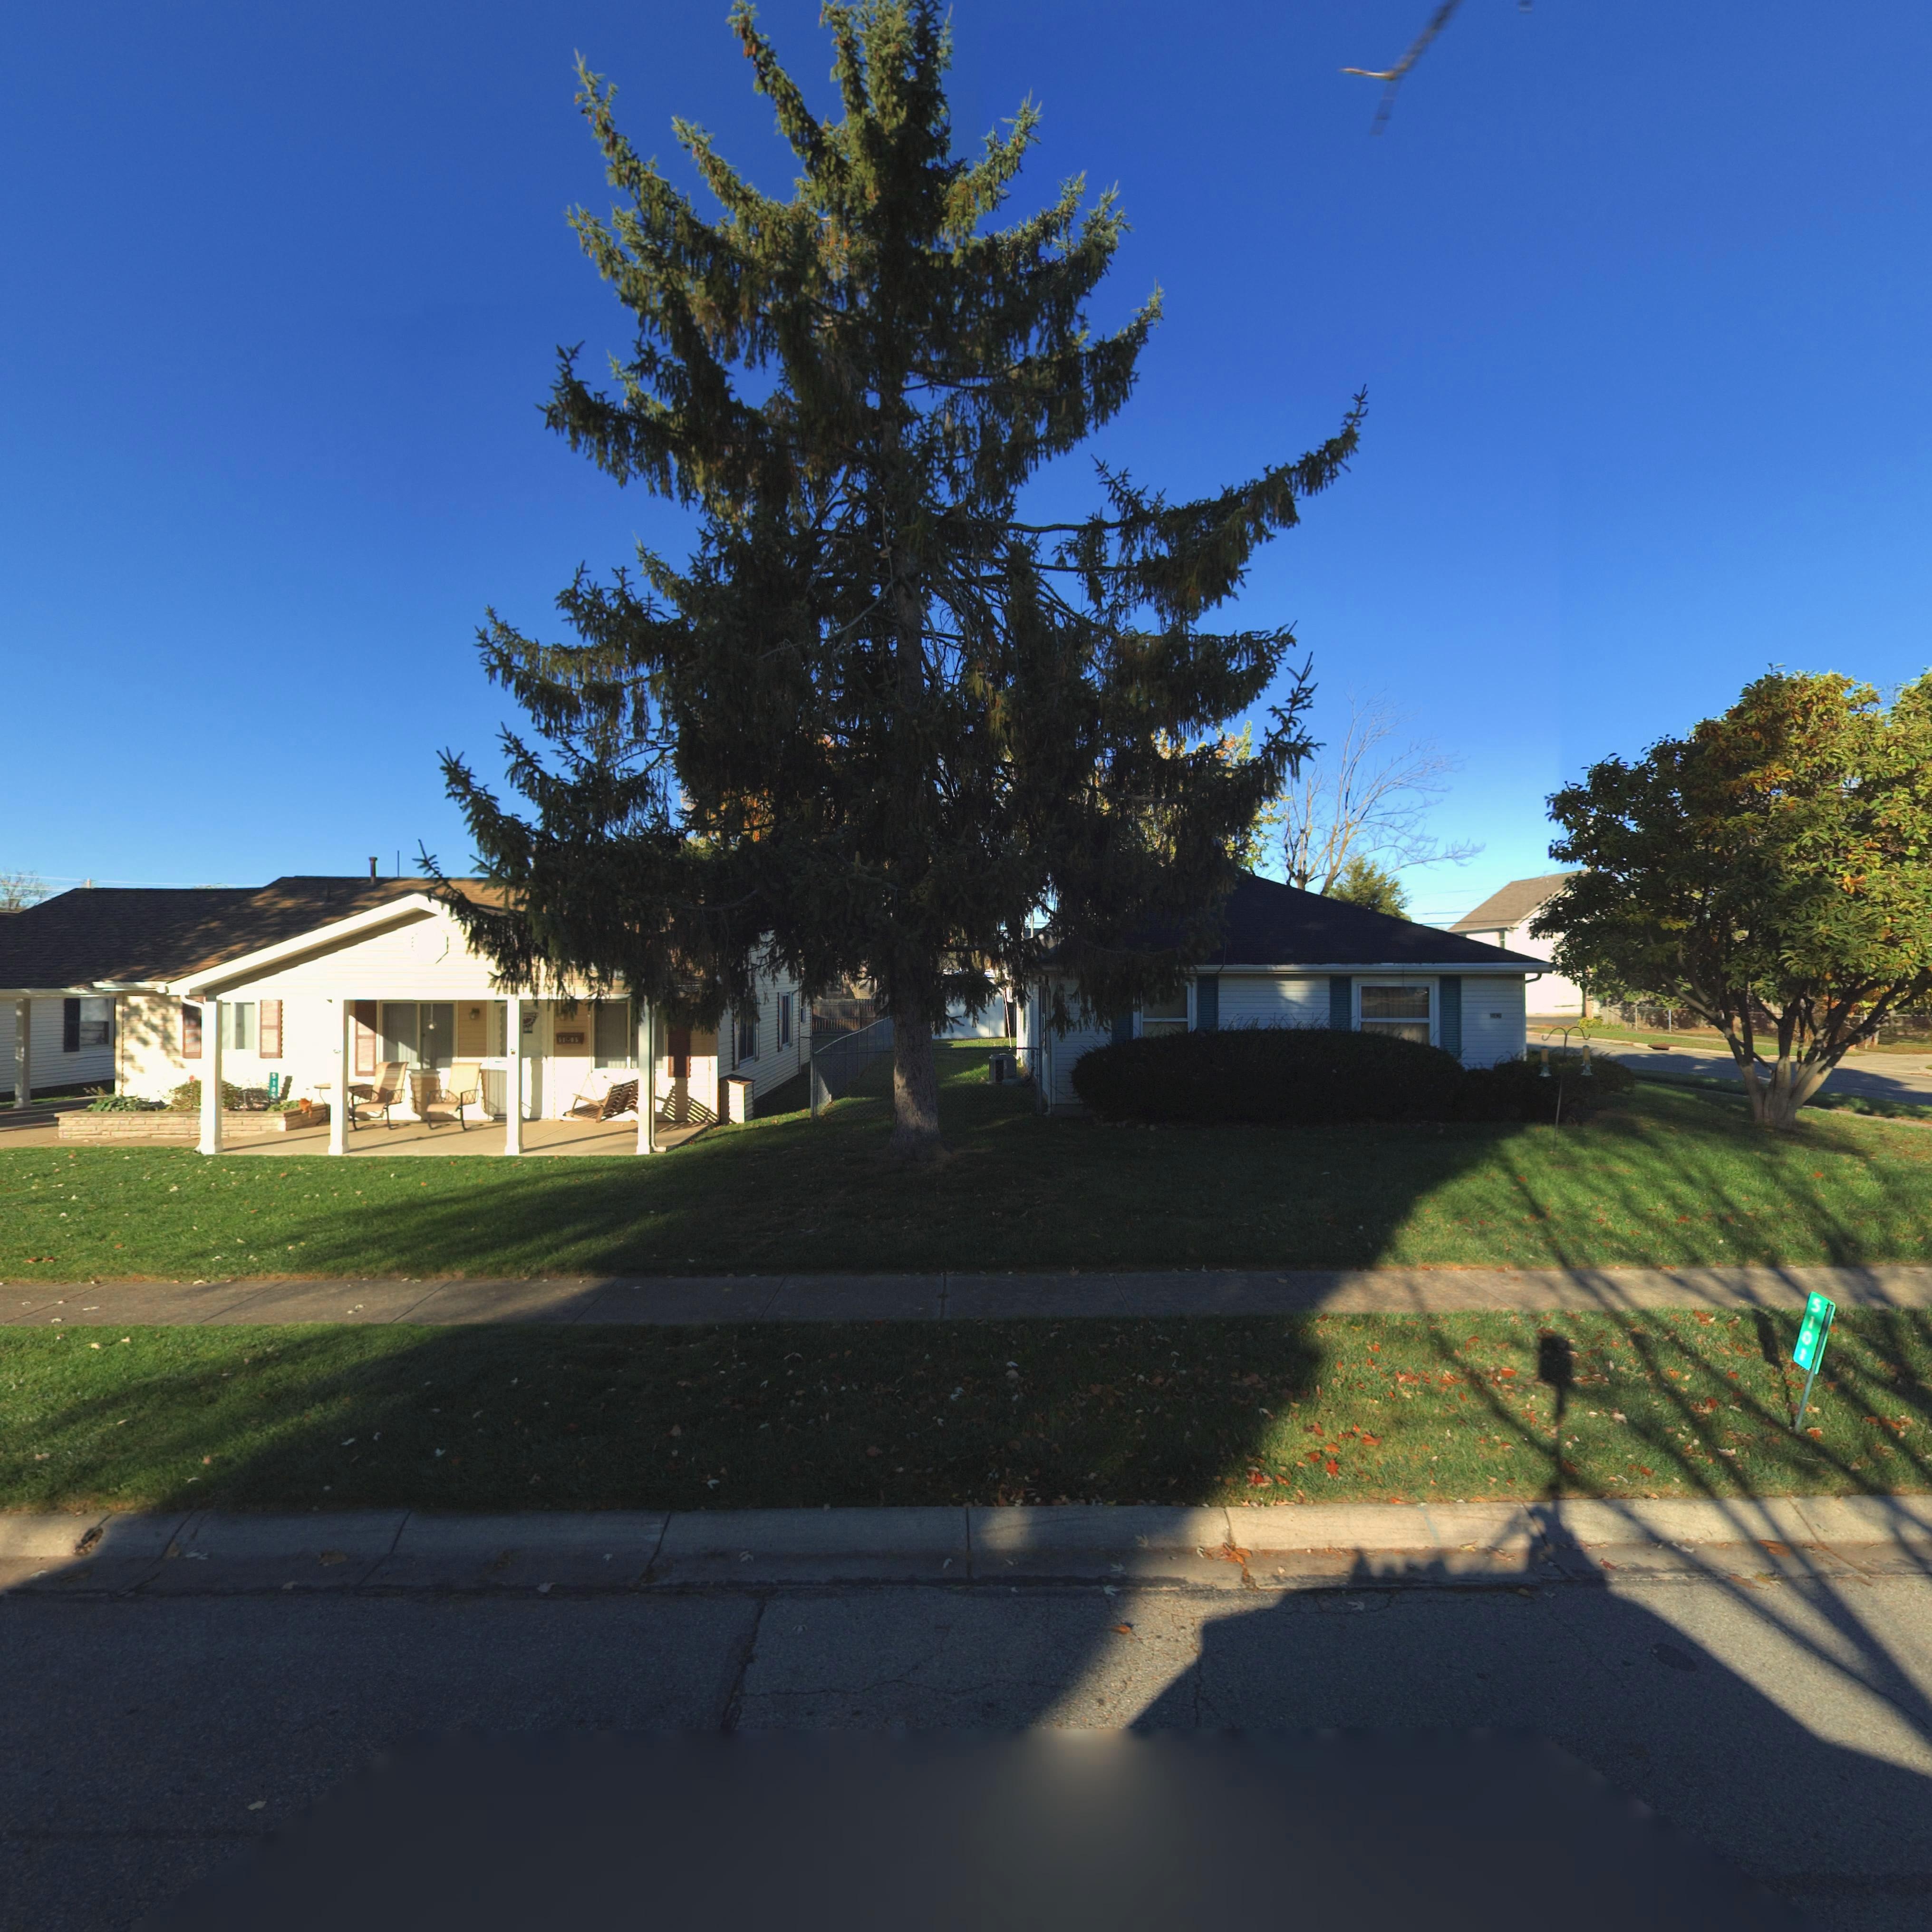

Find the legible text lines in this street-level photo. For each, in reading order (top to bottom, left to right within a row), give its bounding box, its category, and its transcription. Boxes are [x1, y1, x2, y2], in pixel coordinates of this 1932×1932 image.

[558, 1037, 579, 1043] StreetNumber: 51*05
[270, 1072, 277, 1099] StreetNumber: 5105
[1796, 1295, 1823, 1363] StreetNumber: 5101